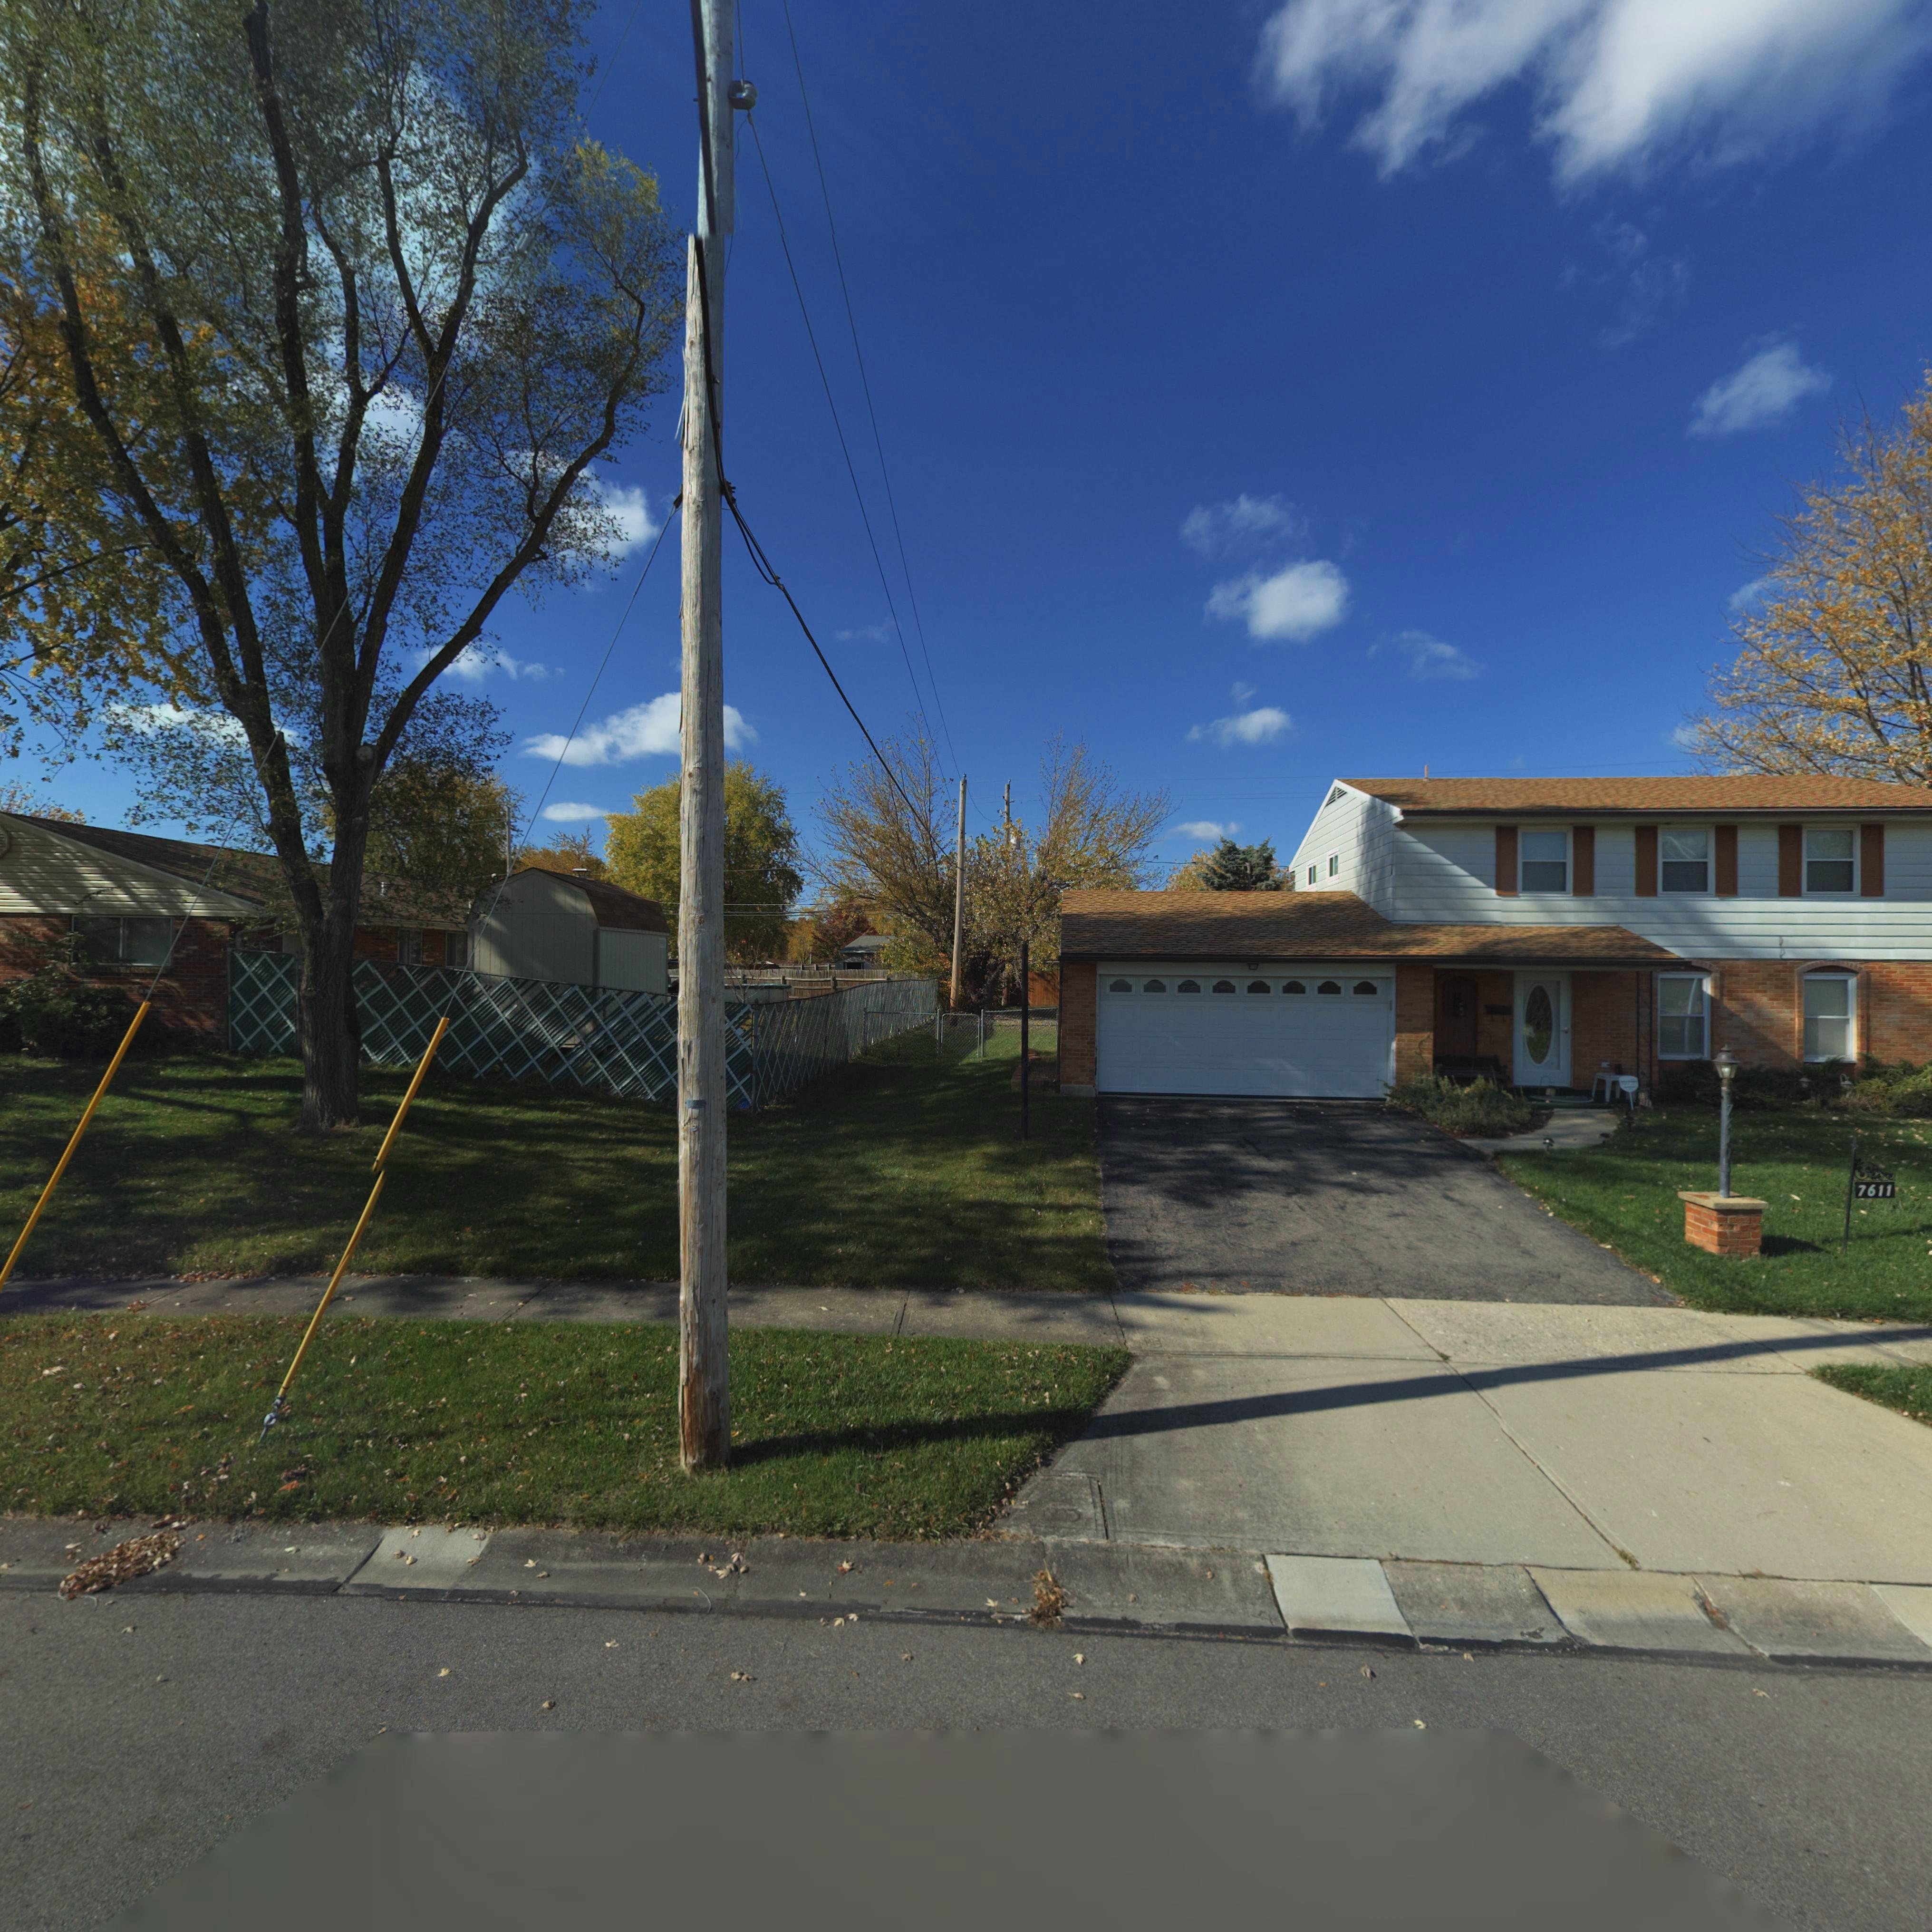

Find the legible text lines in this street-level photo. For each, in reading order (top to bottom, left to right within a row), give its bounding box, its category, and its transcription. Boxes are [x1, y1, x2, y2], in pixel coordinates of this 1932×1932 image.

[1856, 1182, 1893, 1198] StreetNumber: 7611